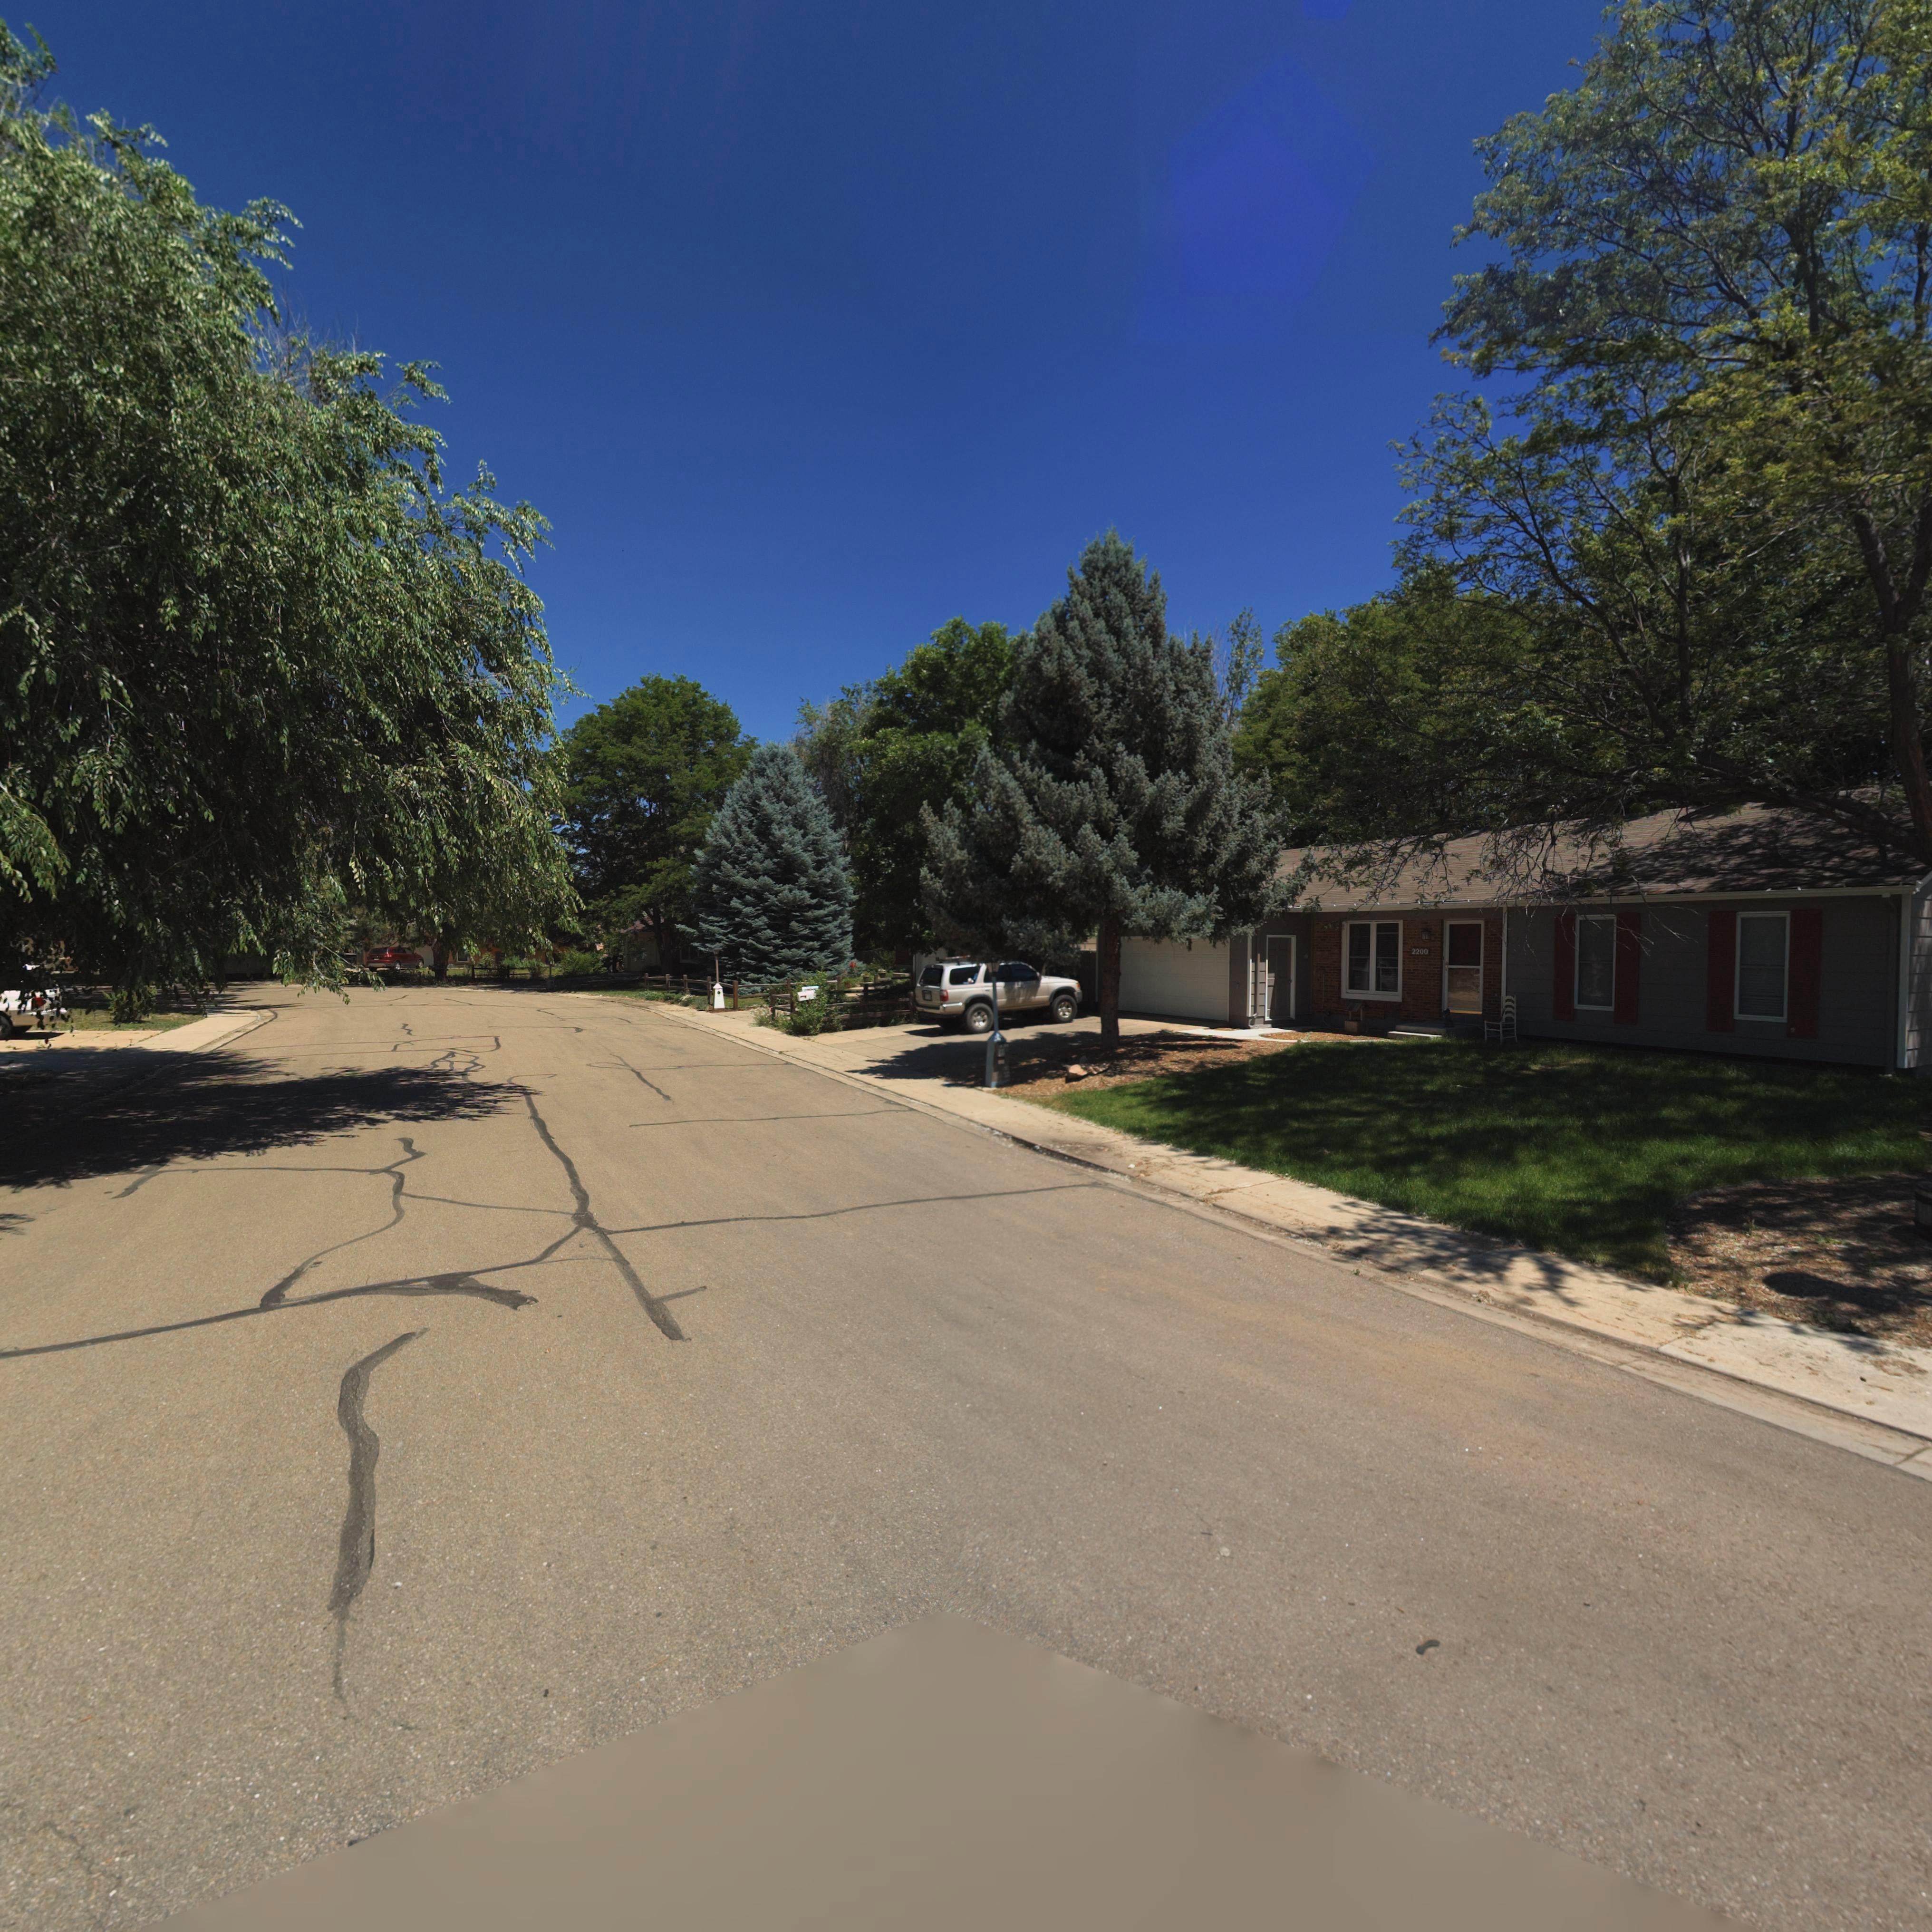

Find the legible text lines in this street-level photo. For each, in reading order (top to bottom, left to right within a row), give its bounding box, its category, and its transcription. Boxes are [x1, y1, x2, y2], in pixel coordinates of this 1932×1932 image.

[1411, 948, 1428, 954] StreetNumber: 2200